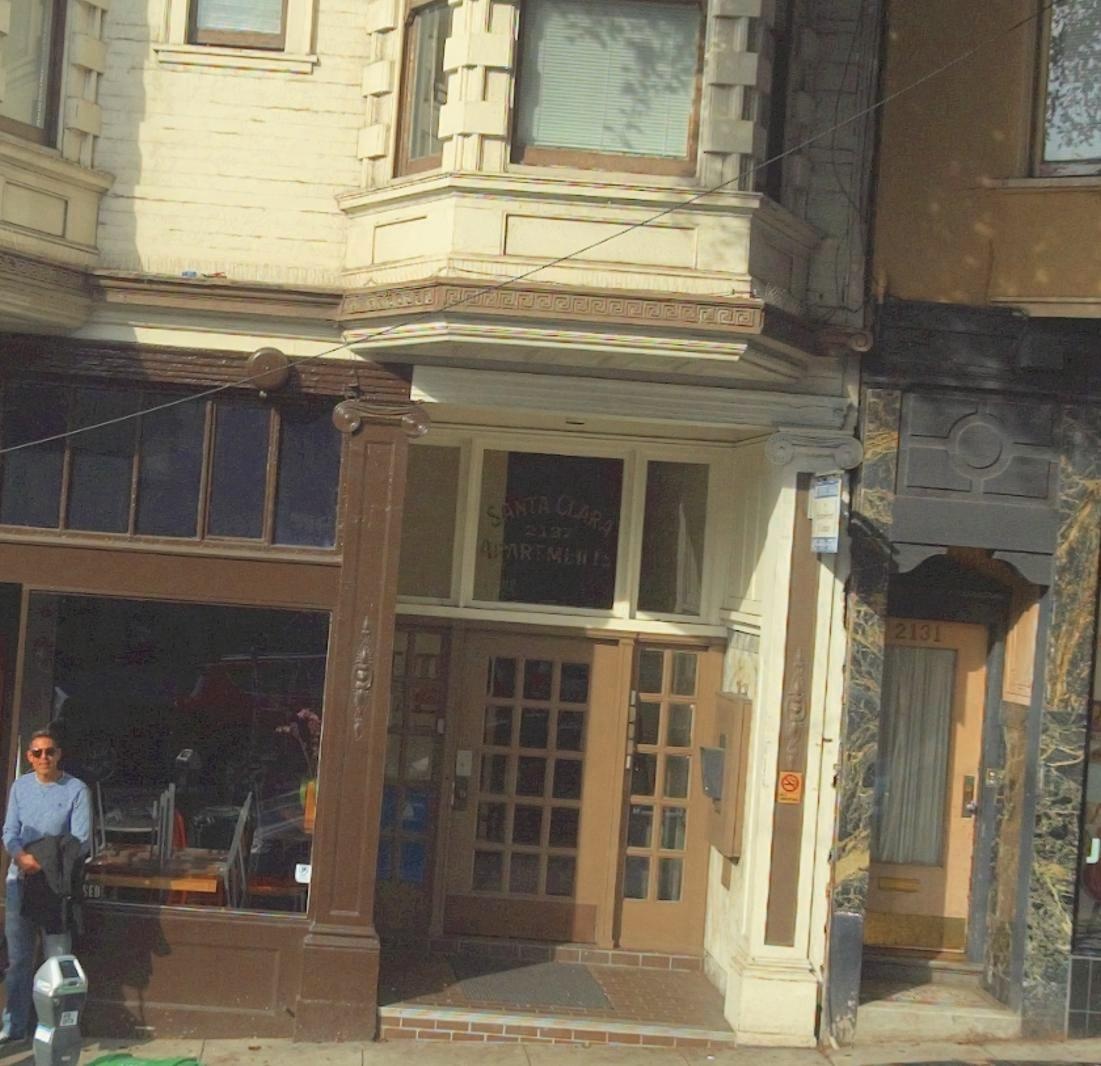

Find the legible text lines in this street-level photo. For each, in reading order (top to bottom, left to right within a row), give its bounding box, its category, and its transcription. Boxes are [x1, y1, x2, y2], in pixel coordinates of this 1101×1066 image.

[520, 520, 577, 543] StreetNumber: 21*7
[481, 492, 619, 540] BusinessName: SANTA CLARA
[472, 533, 615, 572] None: APARTMENTS
[892, 618, 944, 645] StreetNumber: 2131